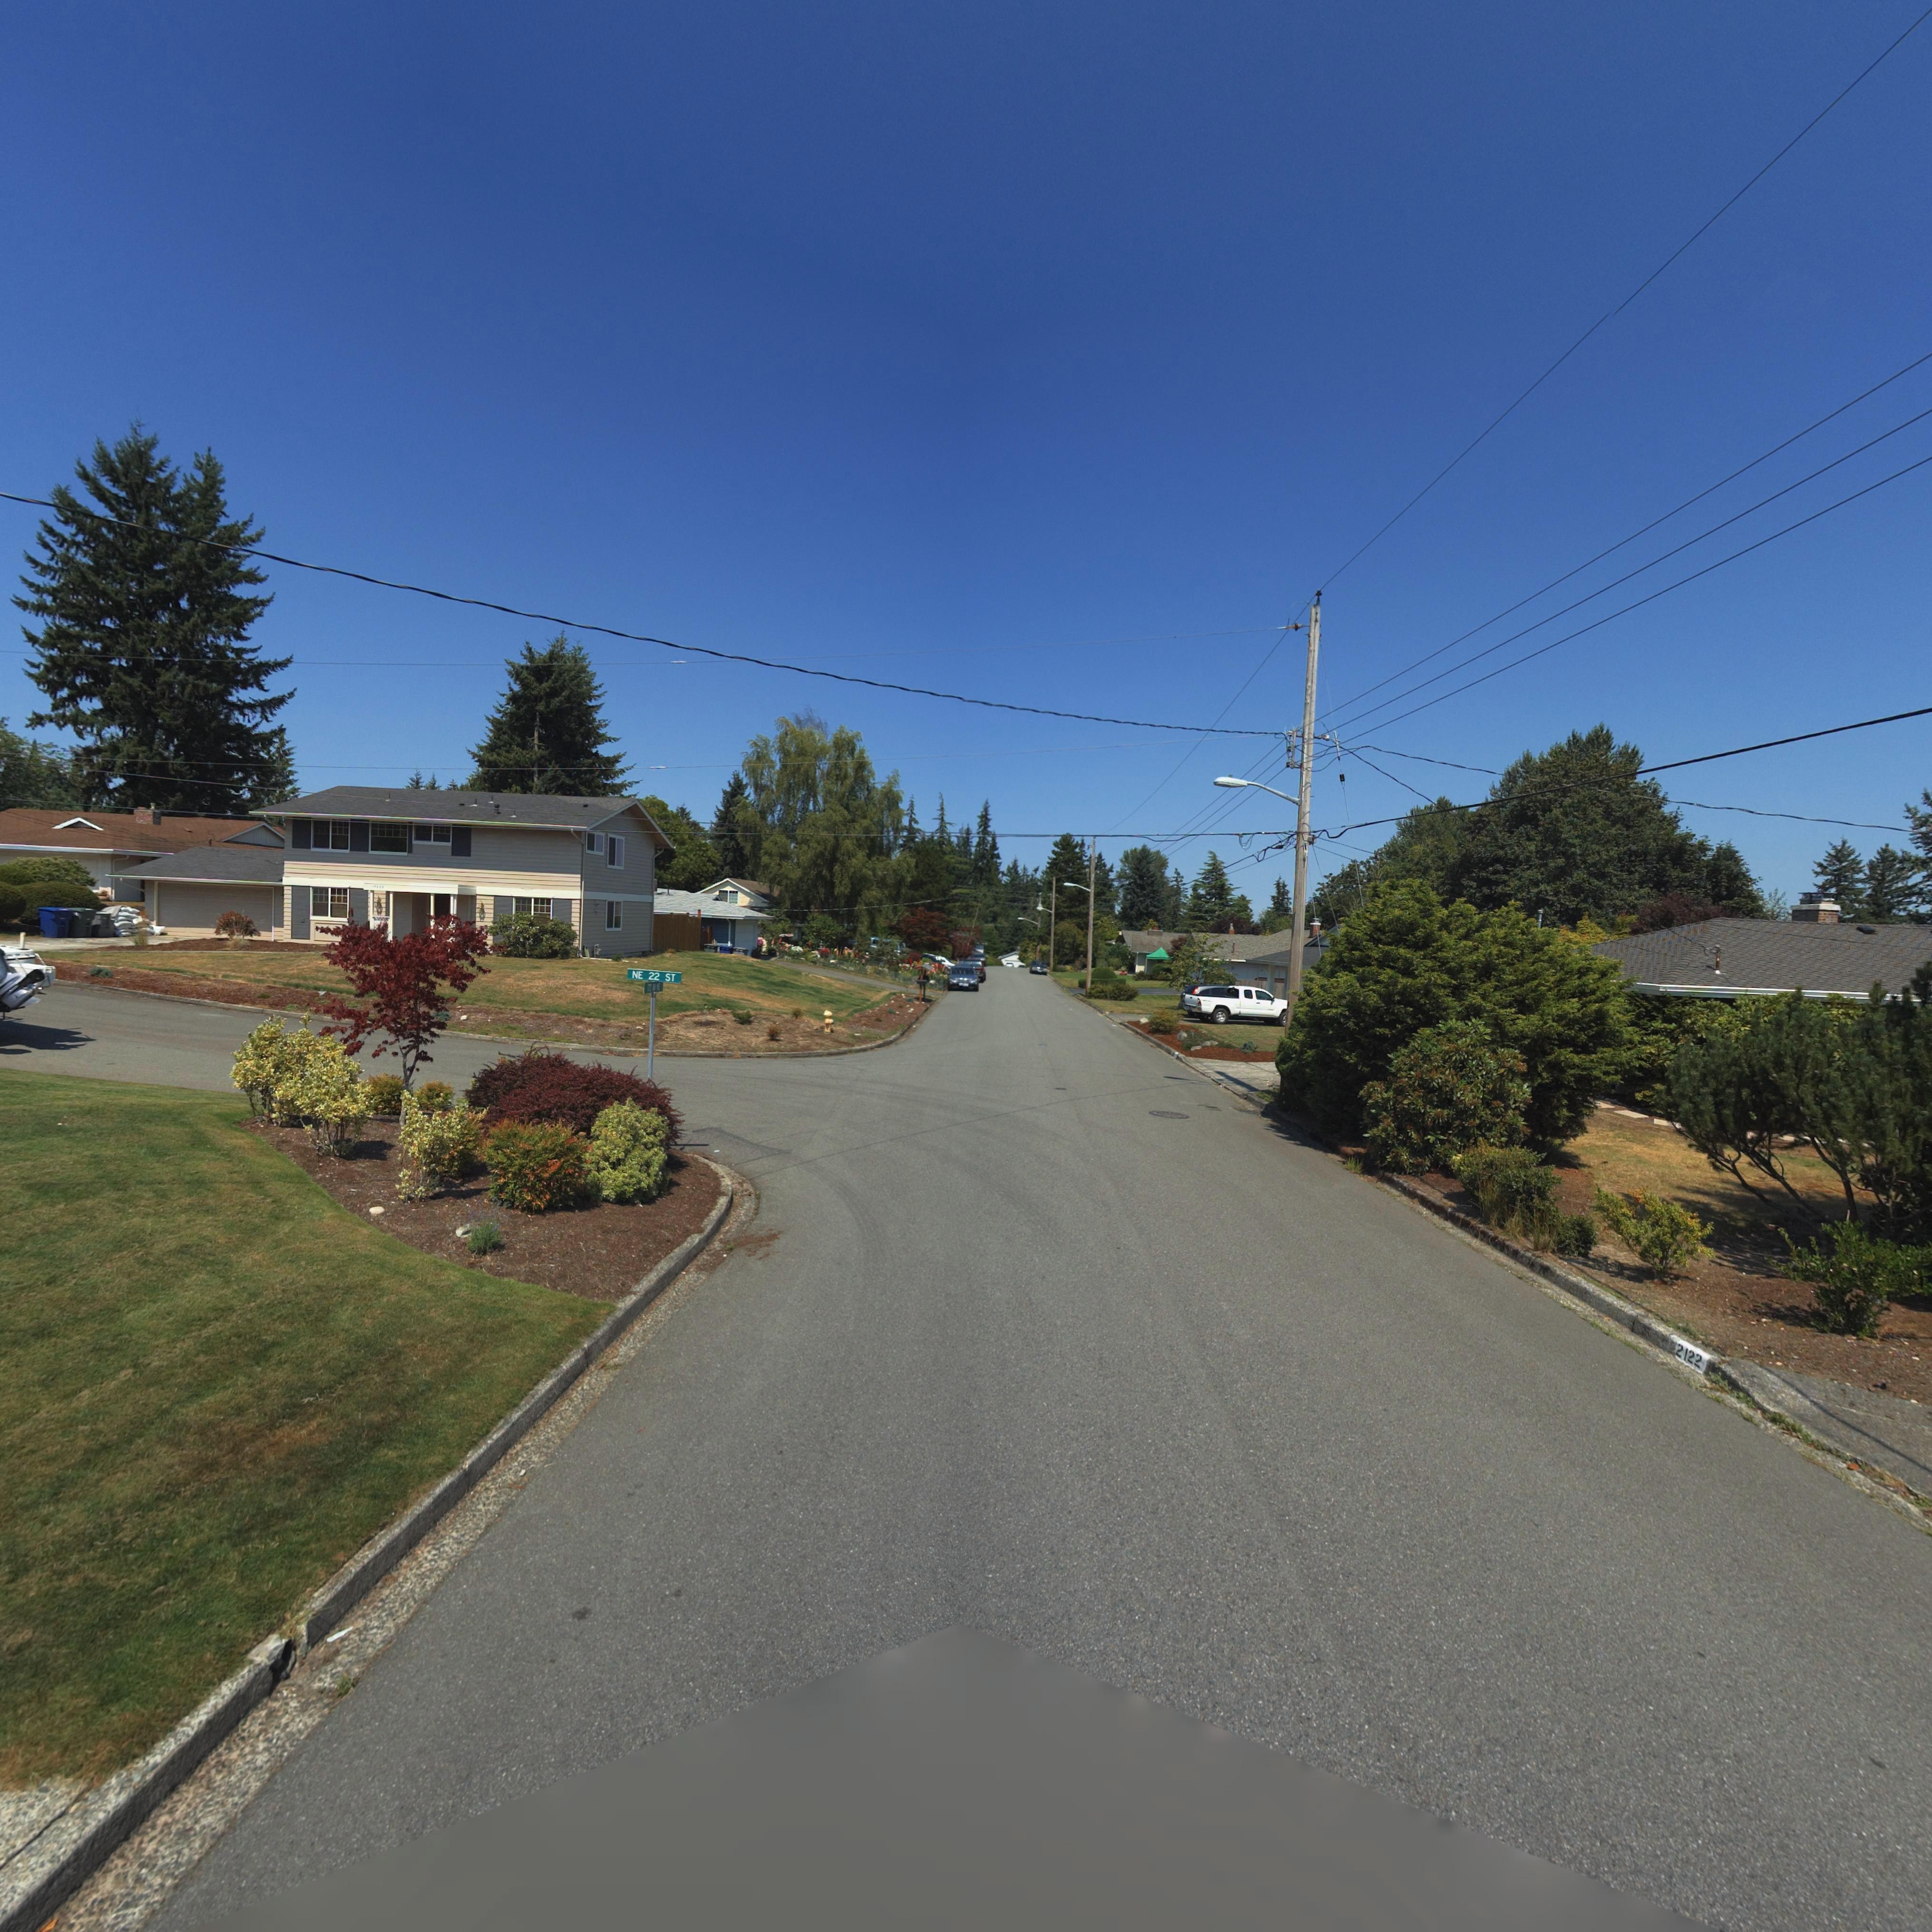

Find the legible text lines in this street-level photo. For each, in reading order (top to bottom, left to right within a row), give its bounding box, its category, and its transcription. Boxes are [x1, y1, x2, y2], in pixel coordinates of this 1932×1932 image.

[632, 971, 675, 981] StreetName: NE 22 sr
[1672, 1340, 1706, 1372] StreetNumber: 2122